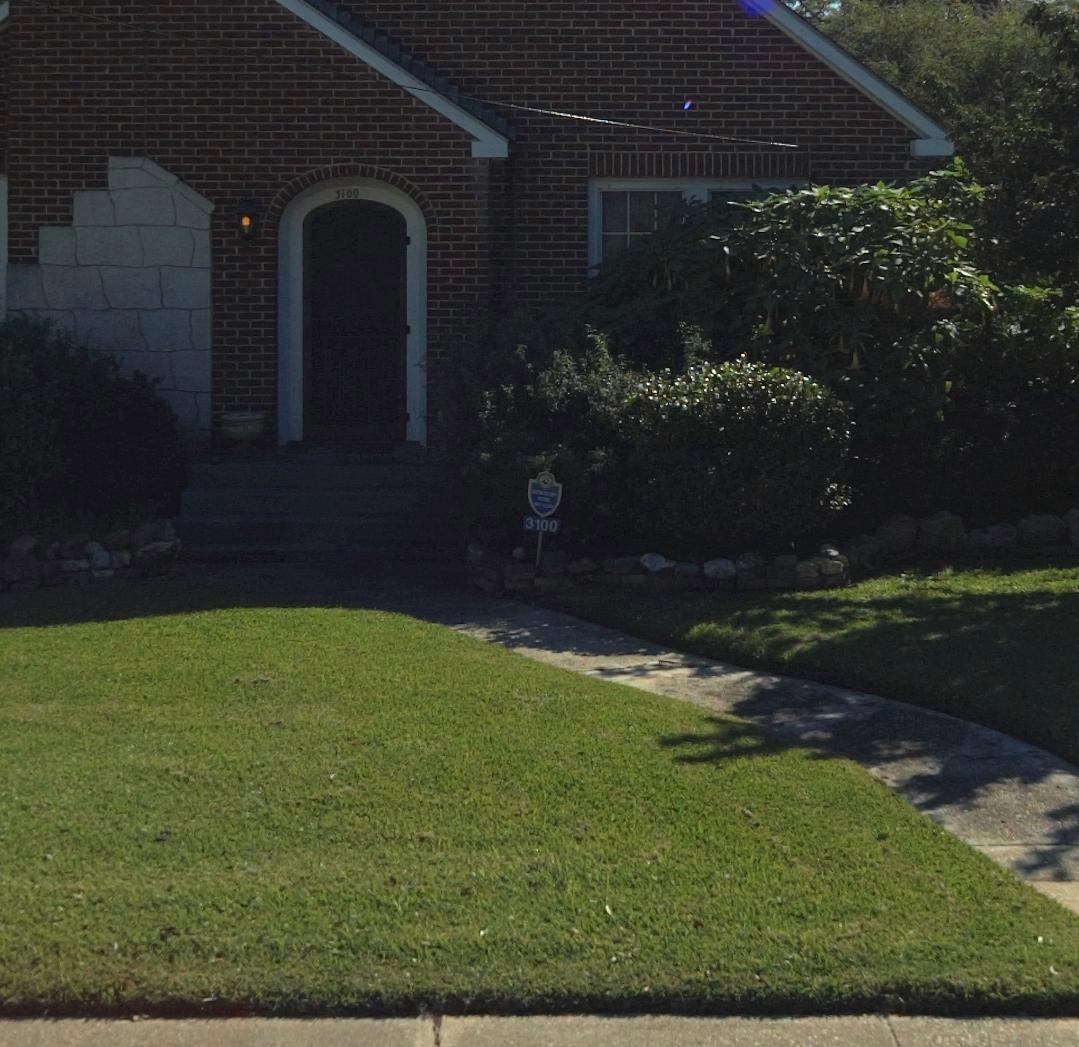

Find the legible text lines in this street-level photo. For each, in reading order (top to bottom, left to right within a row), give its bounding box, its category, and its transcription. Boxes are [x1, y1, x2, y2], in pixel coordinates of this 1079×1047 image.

[332, 186, 360, 201] StreetNumber: 3100
[522, 514, 560, 535] StreetNumber: 3100